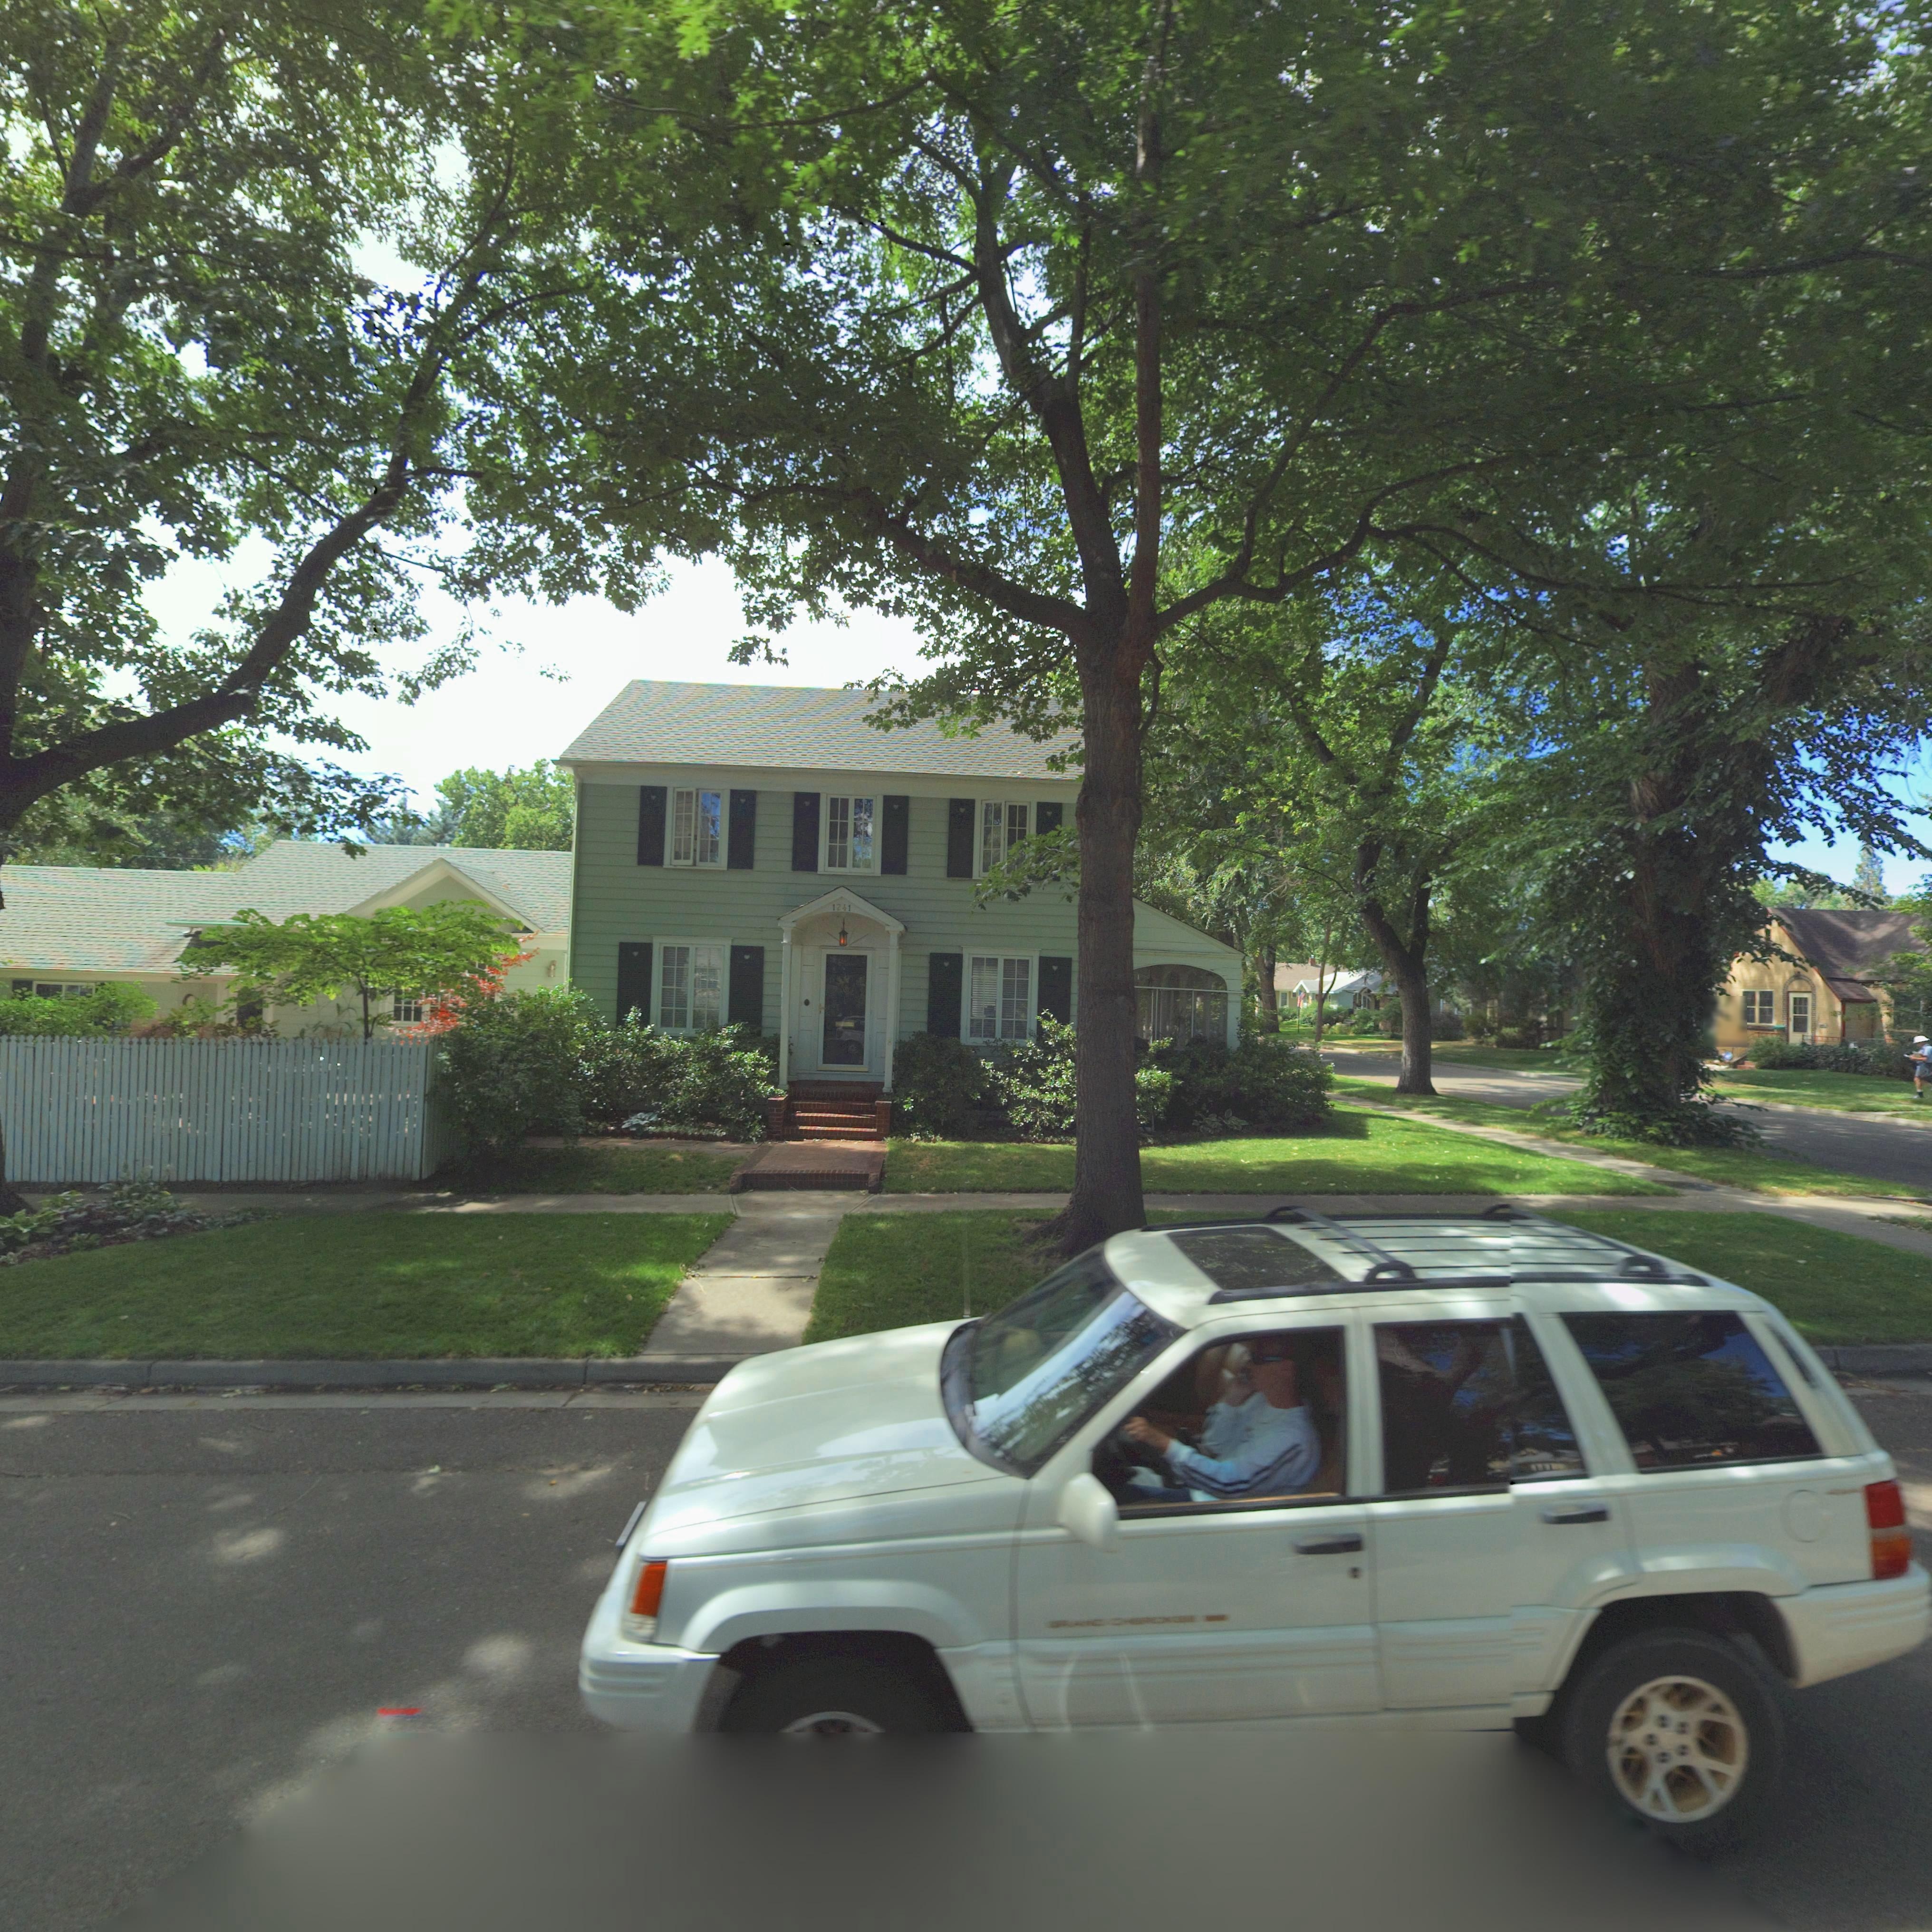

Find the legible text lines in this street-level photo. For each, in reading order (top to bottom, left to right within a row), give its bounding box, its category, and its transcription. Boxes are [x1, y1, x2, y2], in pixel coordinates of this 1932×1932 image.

[833, 903, 850, 911] StreetNumber: 1241